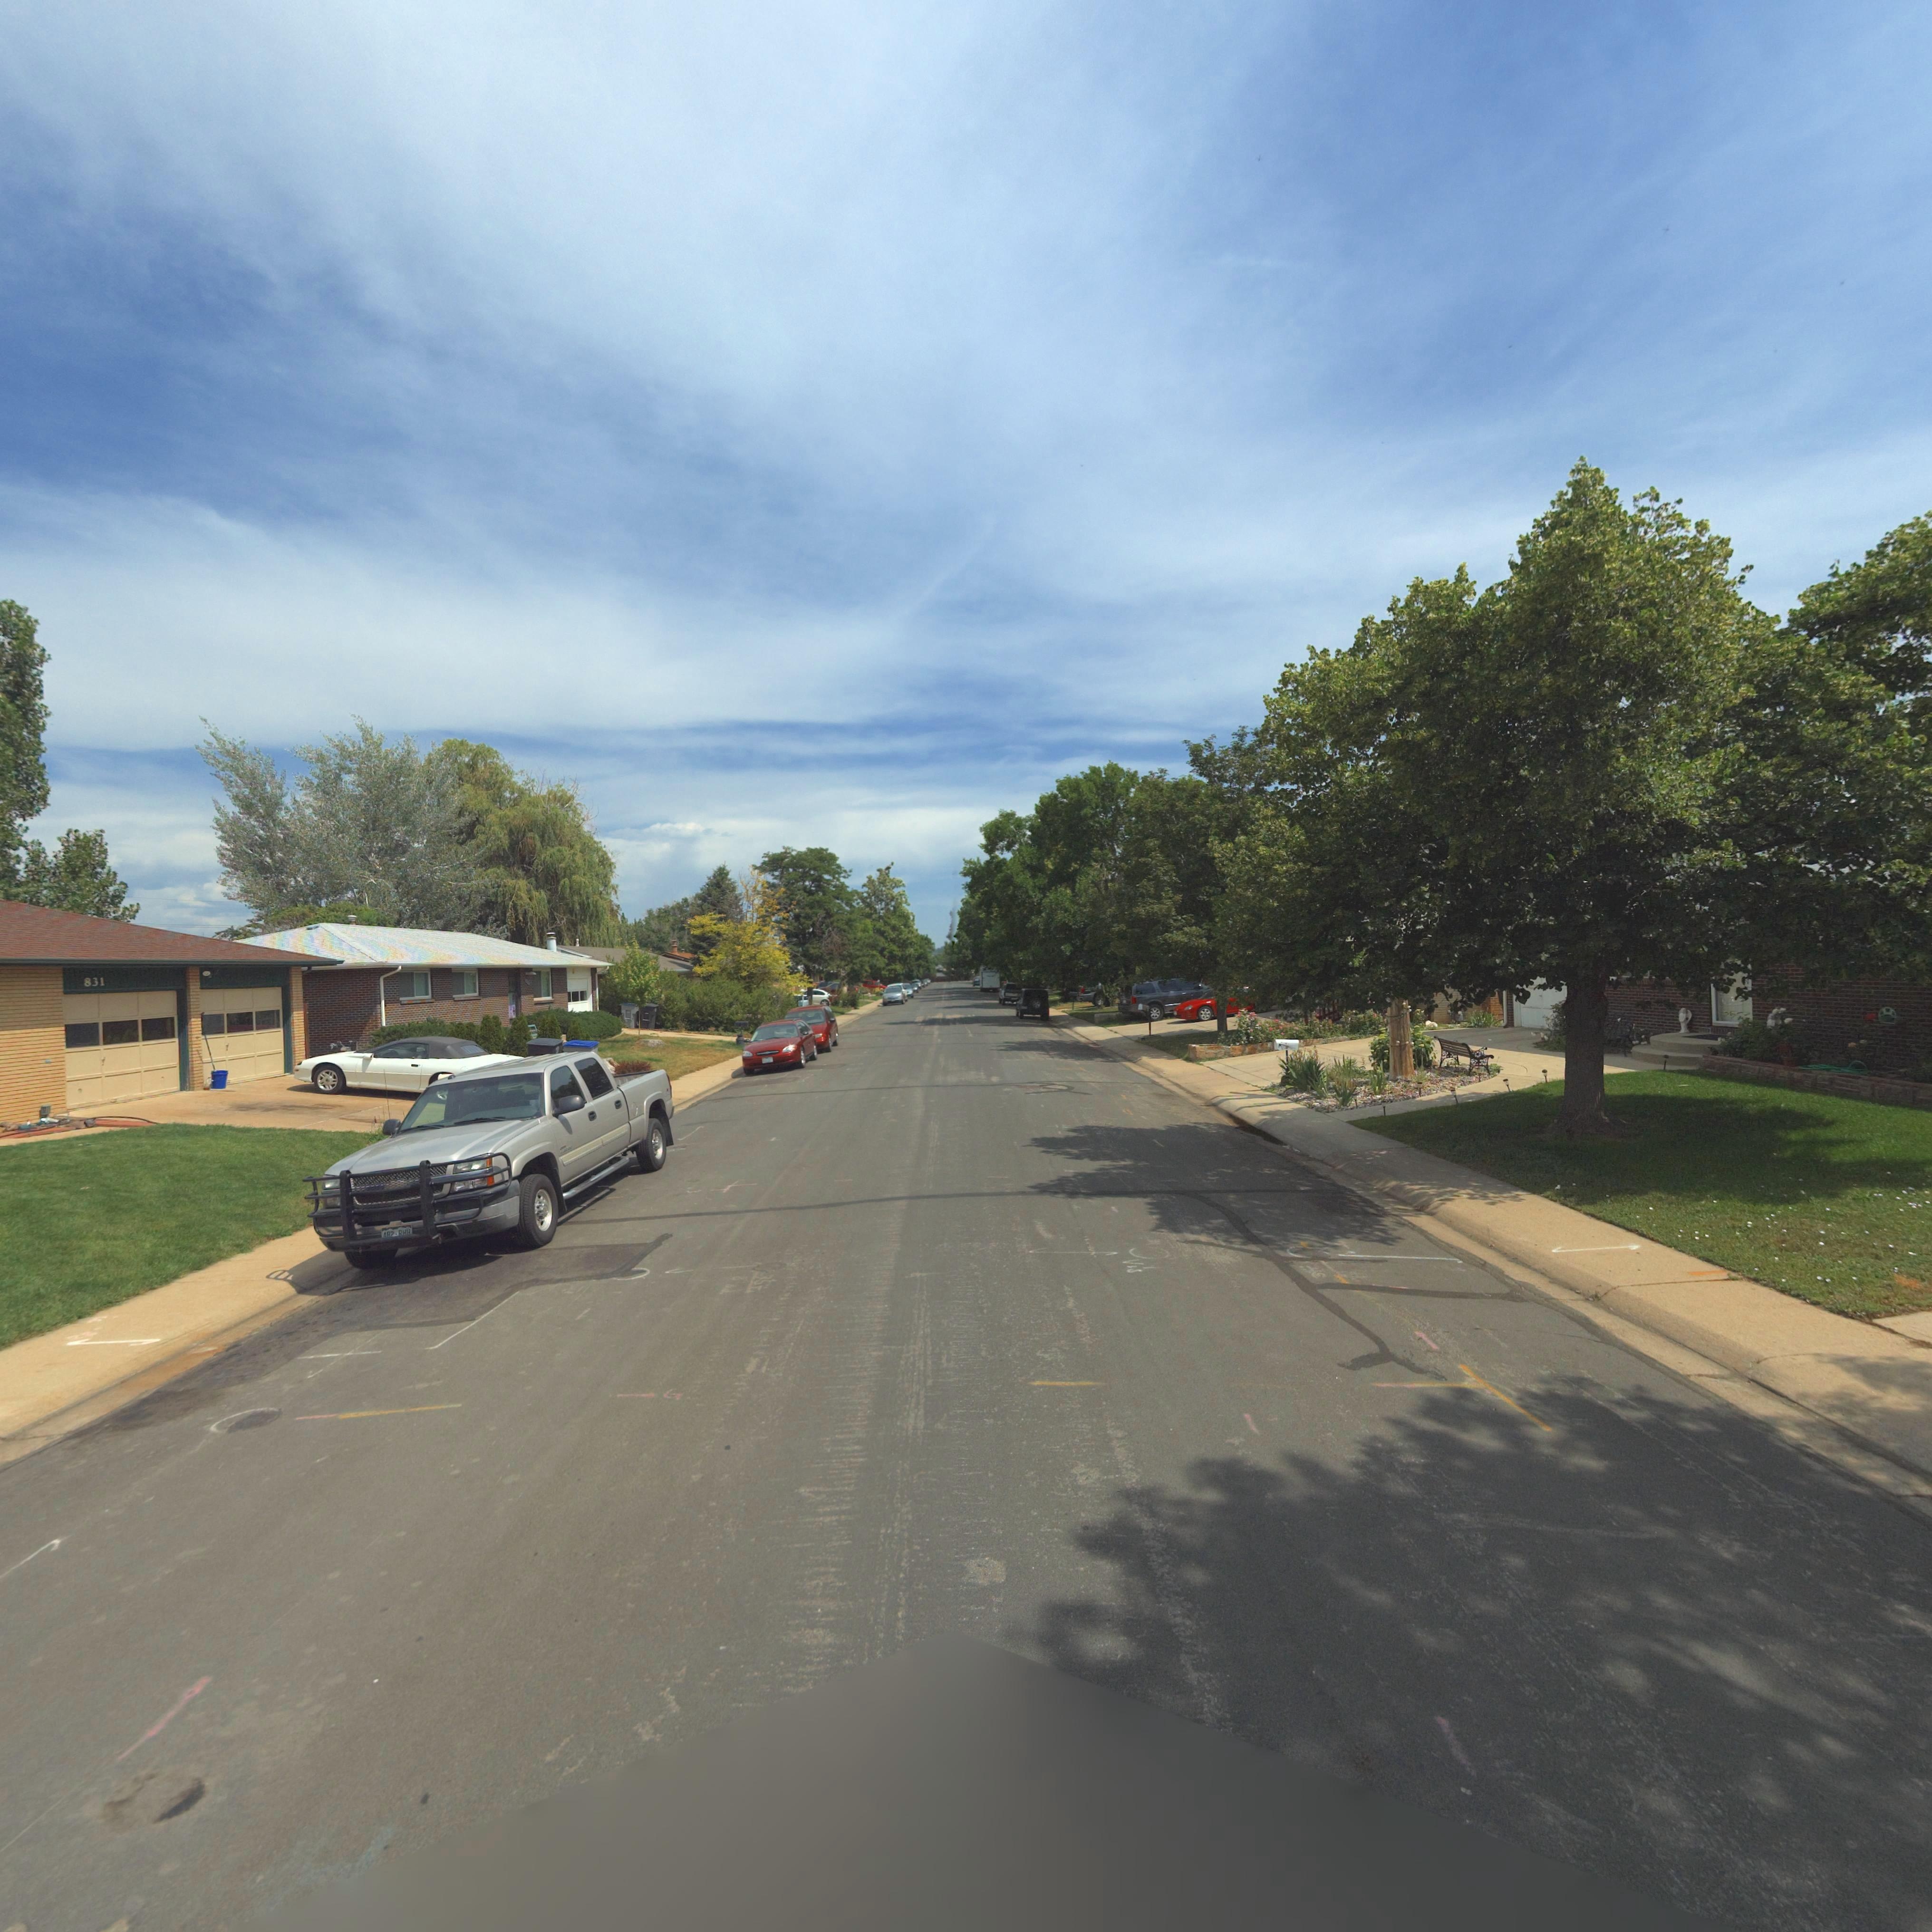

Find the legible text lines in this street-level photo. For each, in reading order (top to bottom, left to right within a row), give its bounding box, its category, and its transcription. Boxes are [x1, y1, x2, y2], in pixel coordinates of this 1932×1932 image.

[84, 976, 105, 987] StreetNumber: 831